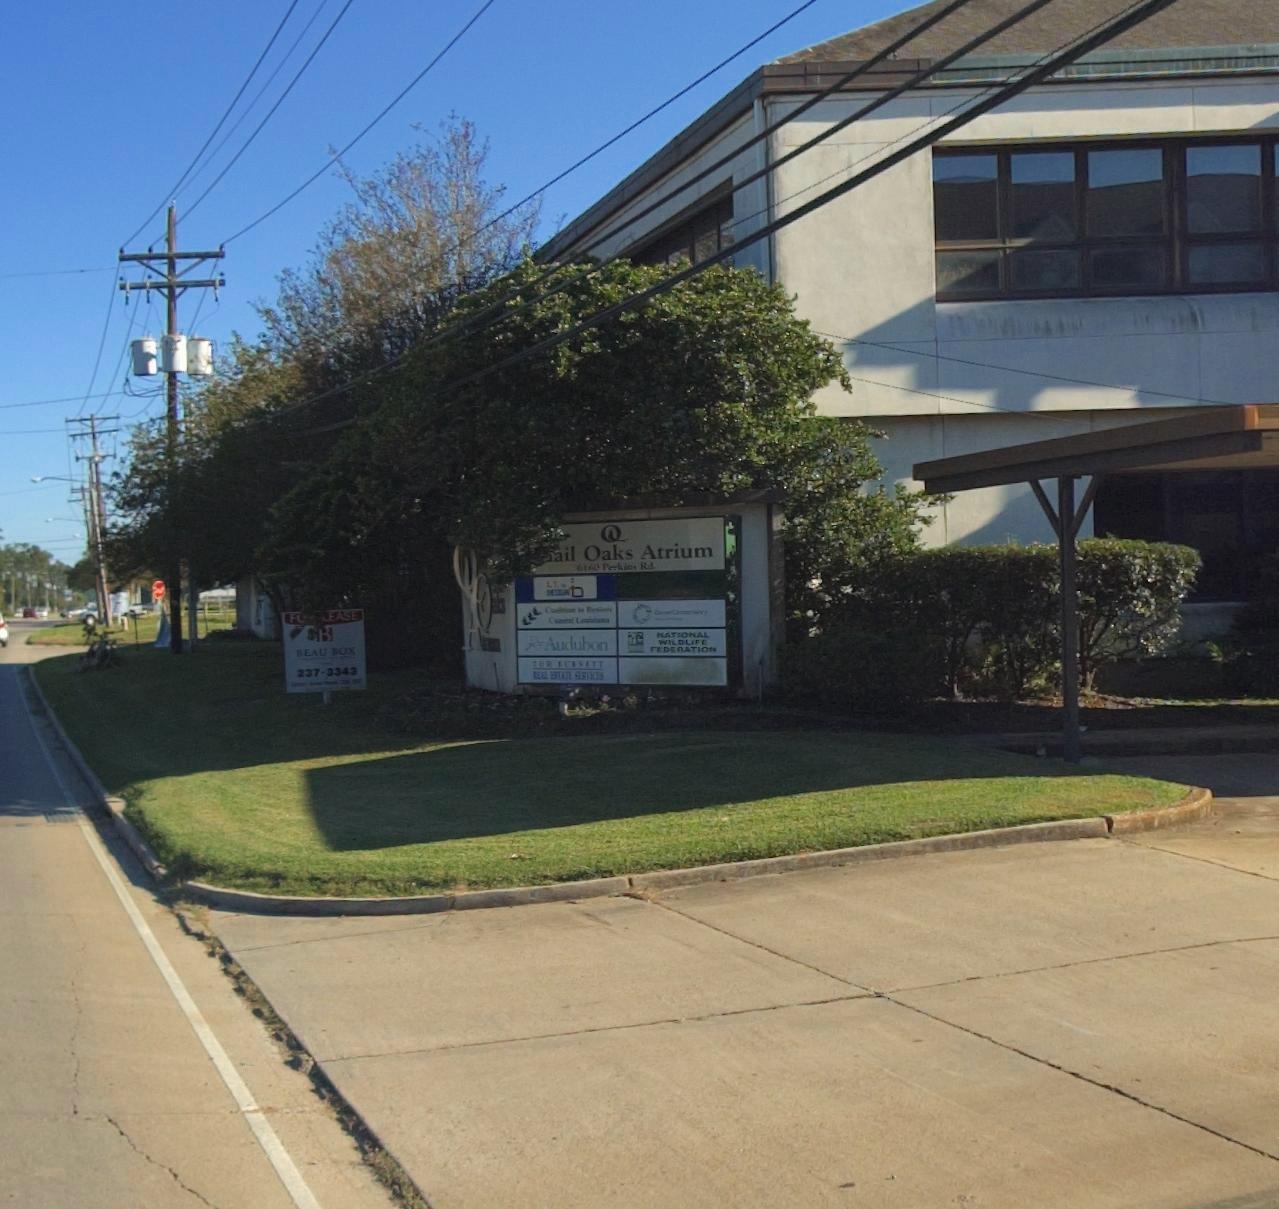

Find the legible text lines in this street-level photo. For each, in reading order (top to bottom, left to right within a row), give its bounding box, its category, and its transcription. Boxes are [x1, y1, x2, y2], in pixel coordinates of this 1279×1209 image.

[553, 542, 715, 563] BusinessName: ail Oaks Atrium
[575, 562, 601, 573] StreetNumber: 6160
[601, 561, 657, 572] StreetName: Perkins Rd.
[288, 610, 361, 625] None: F** *EASE
[316, 626, 333, 643] None: B
[655, 630, 710, 639] BusinessName: NATIONAL
[295, 645, 356, 659] None: BEAU BOX
[543, 634, 609, 653] BusinessName: Audubon
[648, 645, 719, 654] BusinessName: FEDERATION
[658, 639, 710, 646] BusinessName: WILDLIFE
[295, 666, 358, 679] None: 237-3343